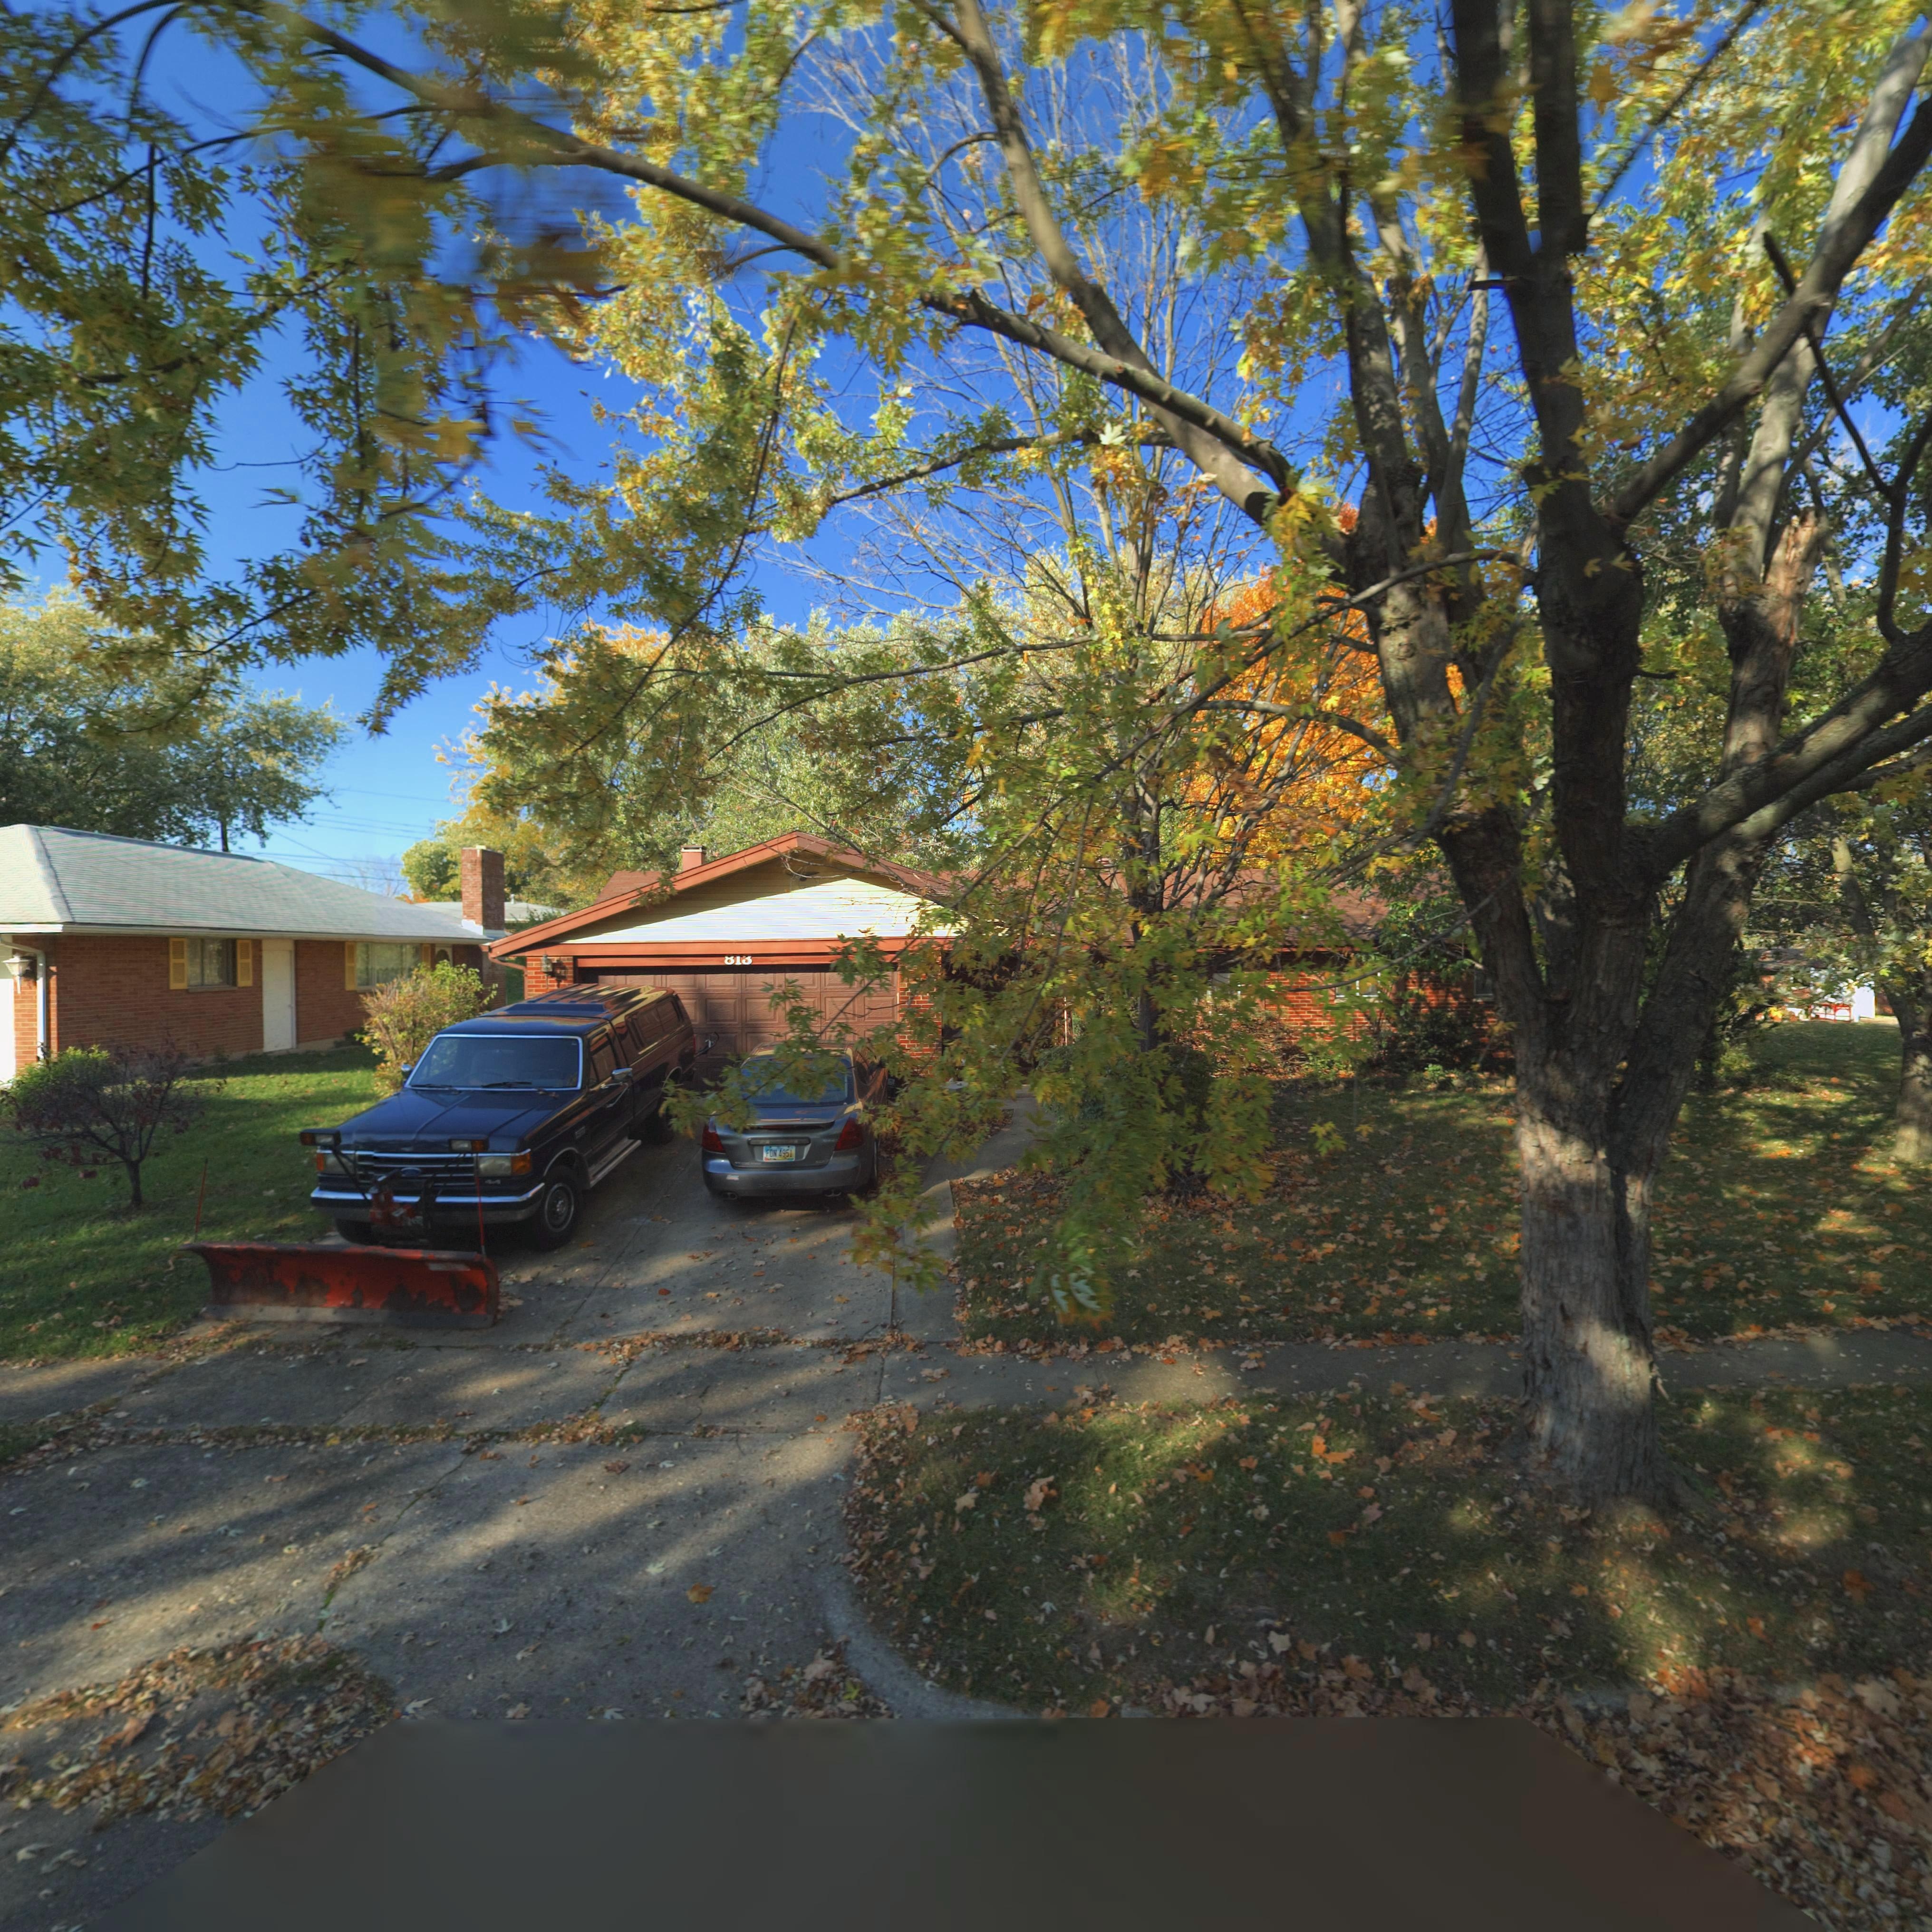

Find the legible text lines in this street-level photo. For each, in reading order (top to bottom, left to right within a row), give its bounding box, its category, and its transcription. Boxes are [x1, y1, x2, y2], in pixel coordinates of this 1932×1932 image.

[724, 954, 752, 966] StreetNumber: 813